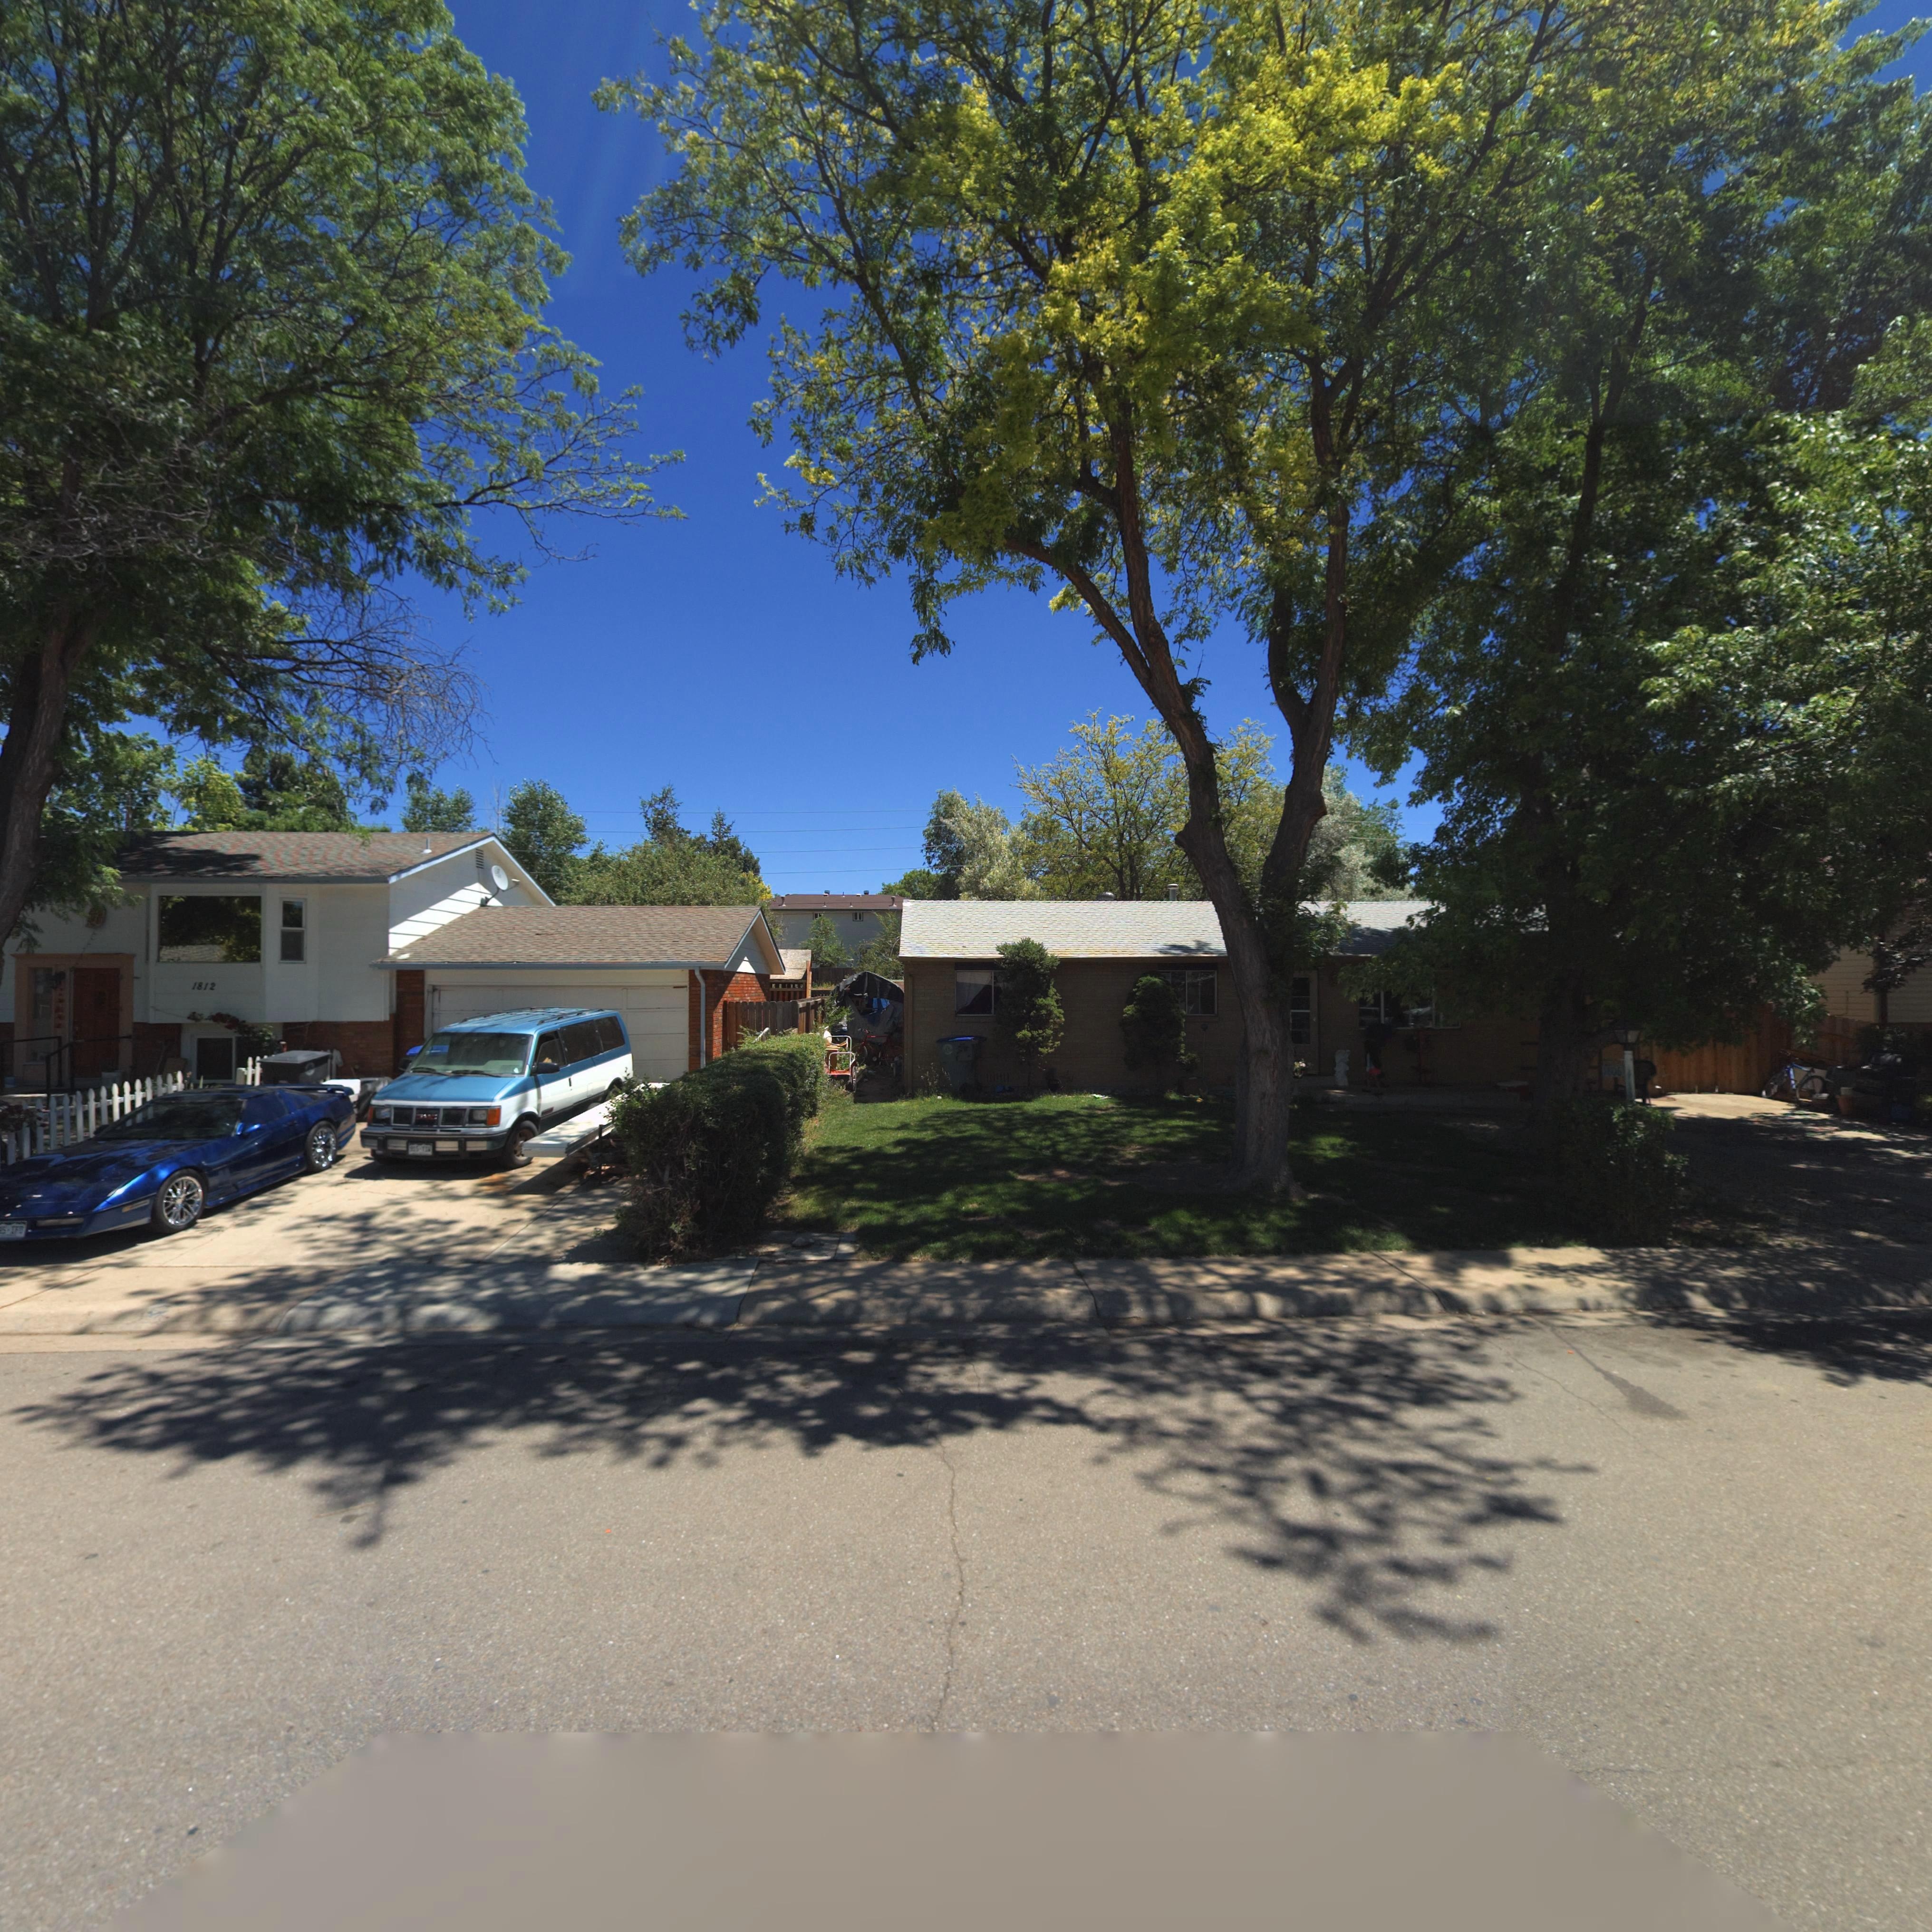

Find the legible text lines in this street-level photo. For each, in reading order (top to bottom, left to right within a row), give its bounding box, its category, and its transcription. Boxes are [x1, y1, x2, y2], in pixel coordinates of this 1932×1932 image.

[191, 982, 216, 990] StreetNumber: 1812